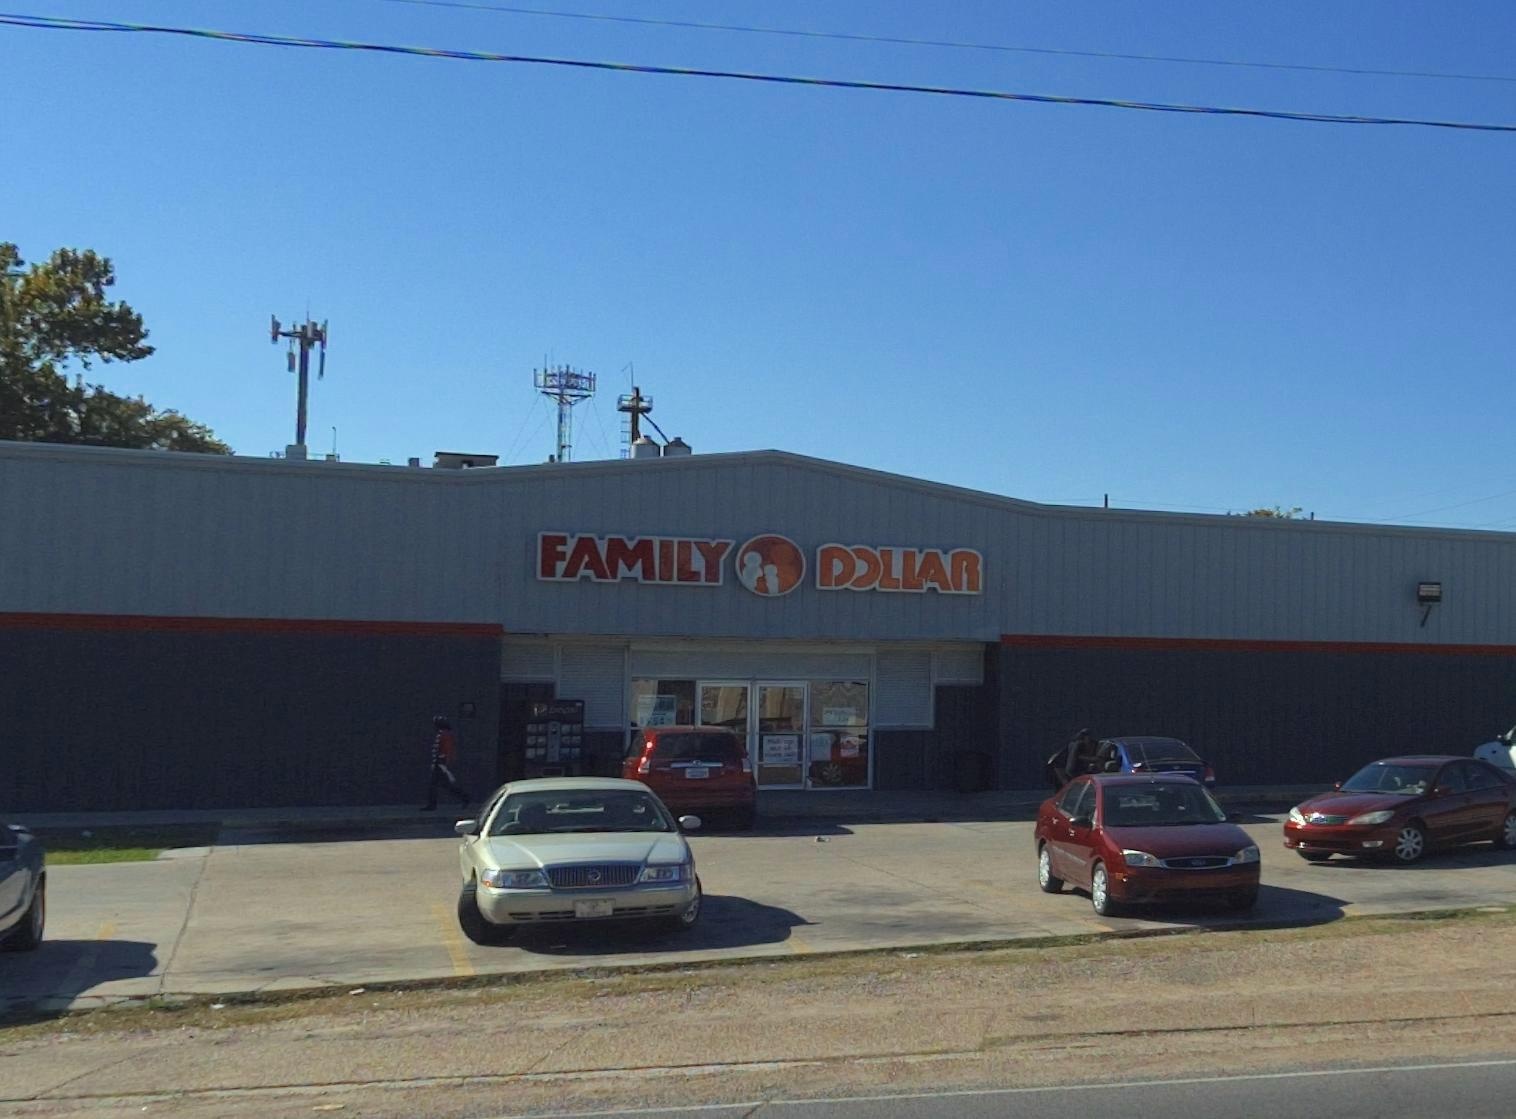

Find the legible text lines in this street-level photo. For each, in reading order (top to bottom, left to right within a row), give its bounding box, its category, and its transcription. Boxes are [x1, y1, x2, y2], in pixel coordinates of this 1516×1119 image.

[535, 529, 987, 597] BusinessName: FAMILY * DOLLAR